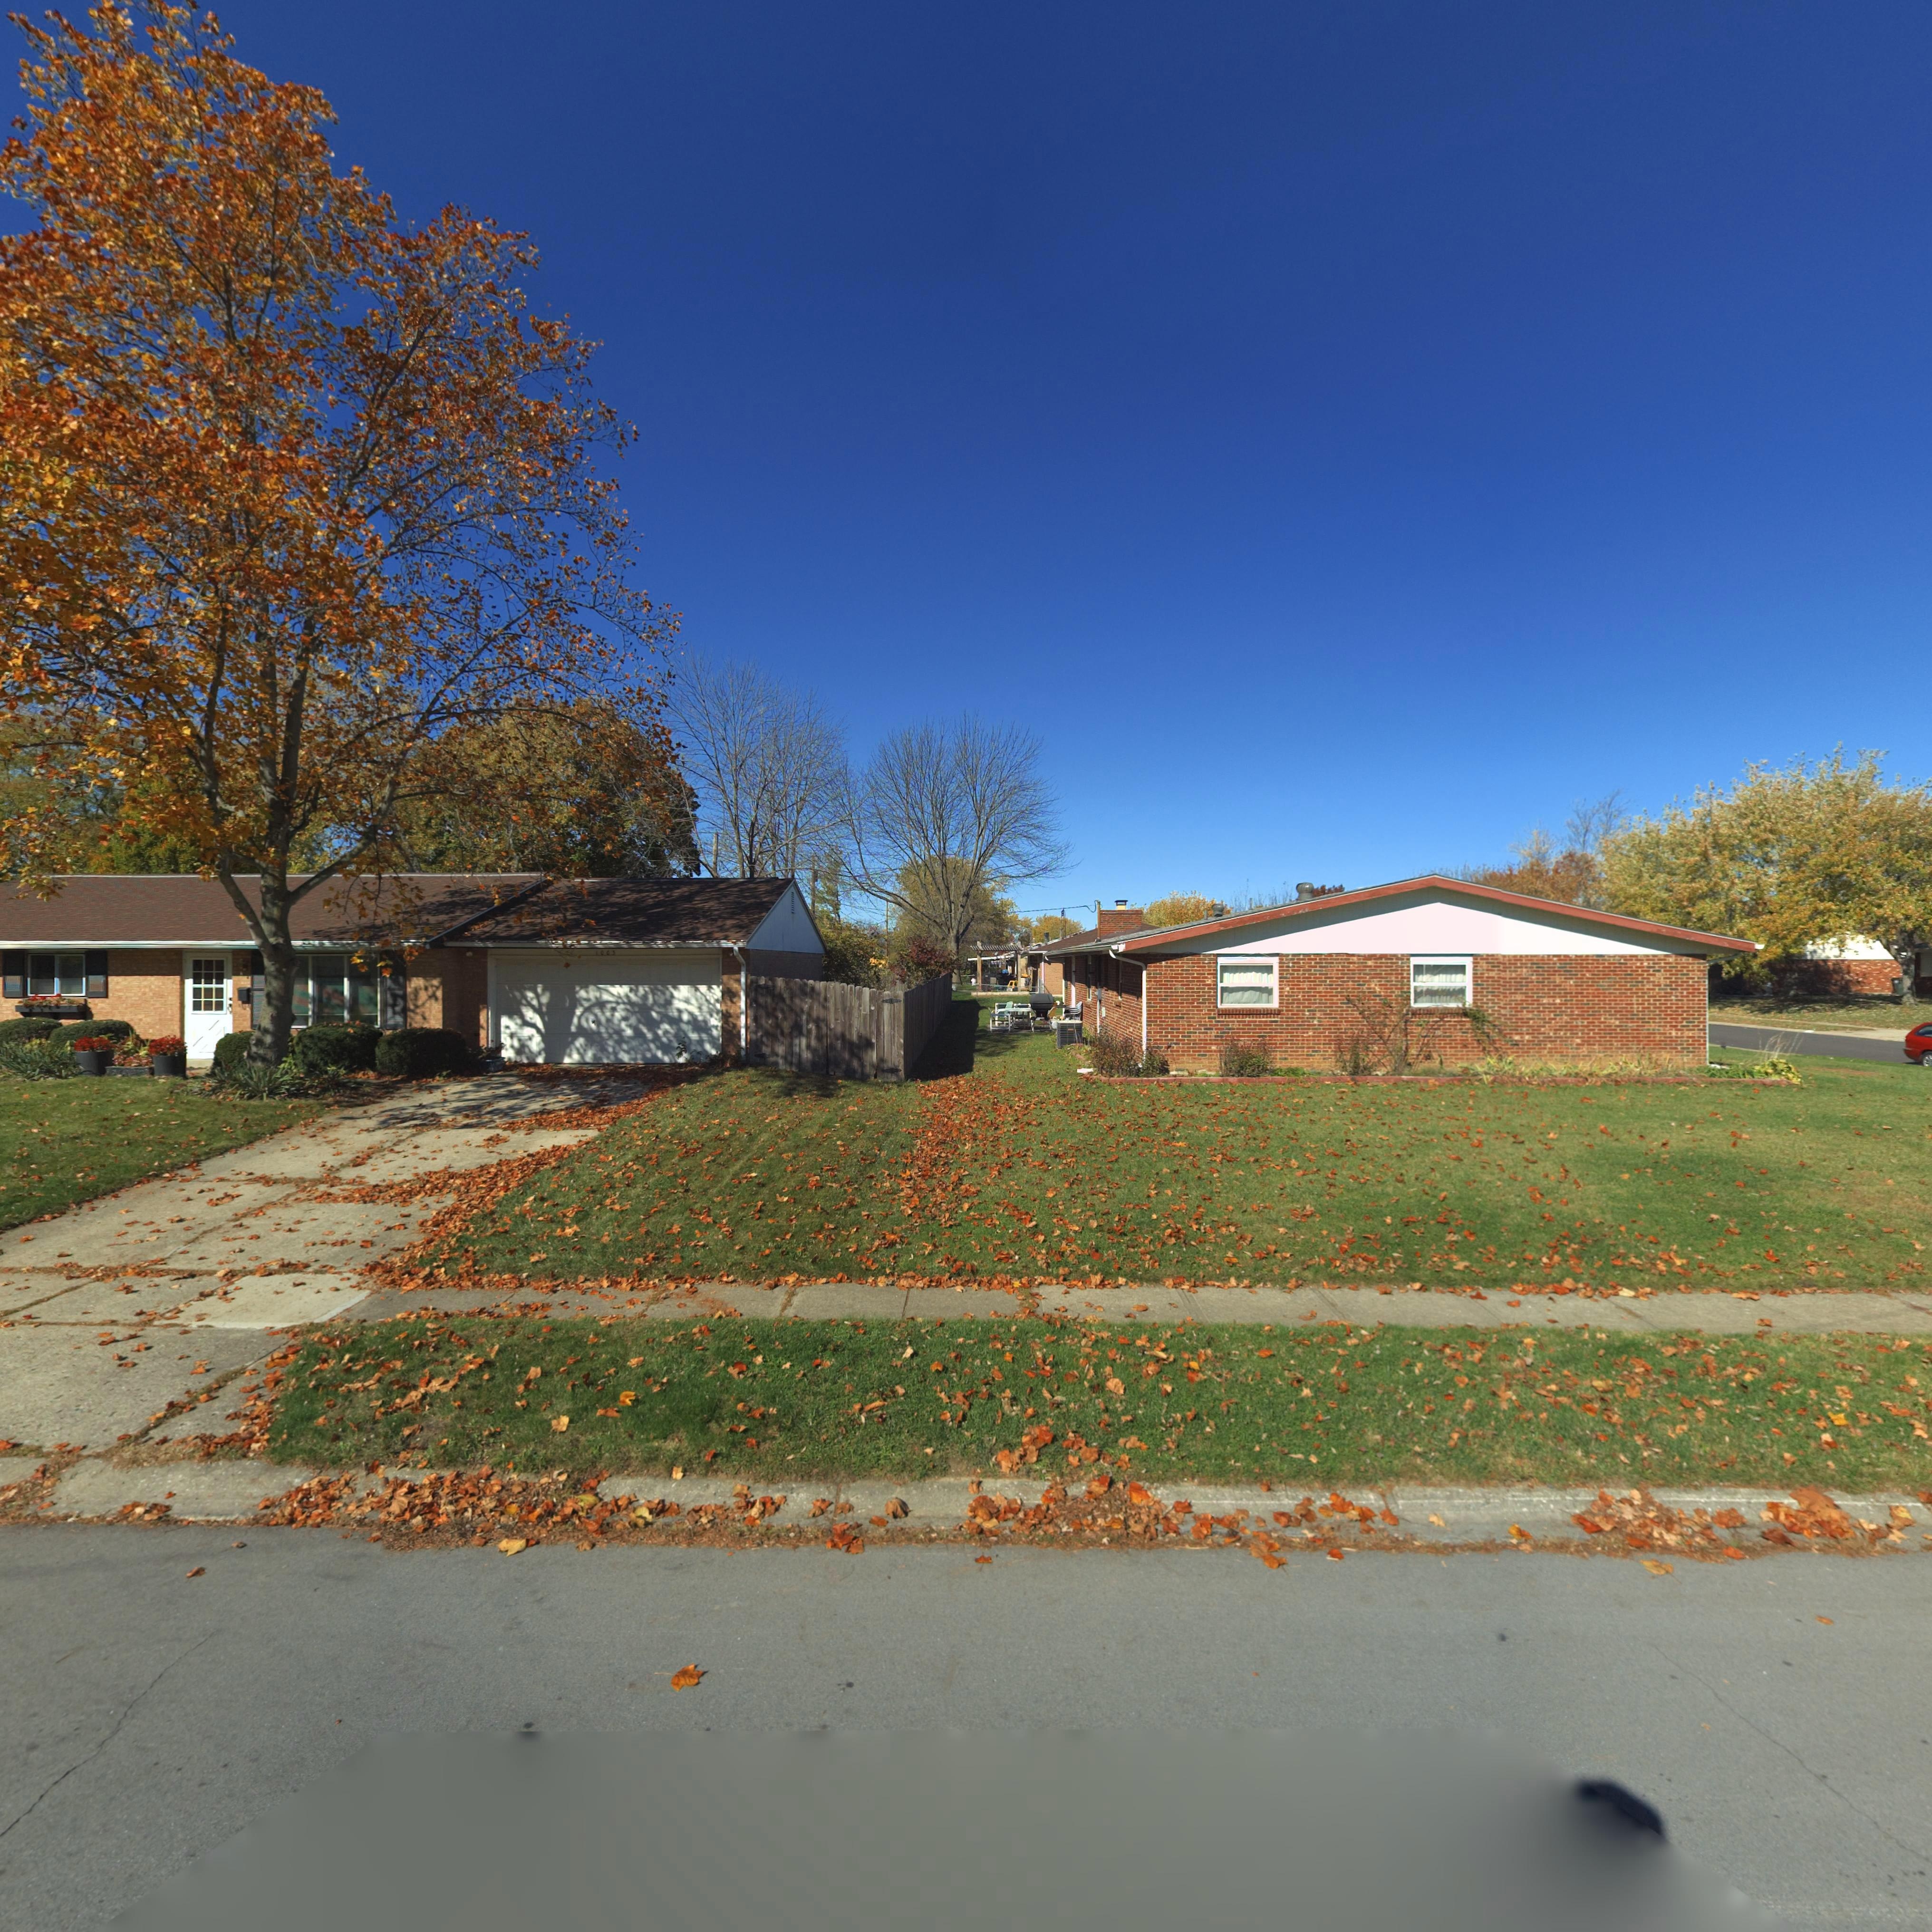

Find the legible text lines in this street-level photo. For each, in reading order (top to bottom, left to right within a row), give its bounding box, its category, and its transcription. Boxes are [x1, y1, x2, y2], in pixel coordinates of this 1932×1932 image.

[595, 950, 616, 956] StreetNumber: 1003